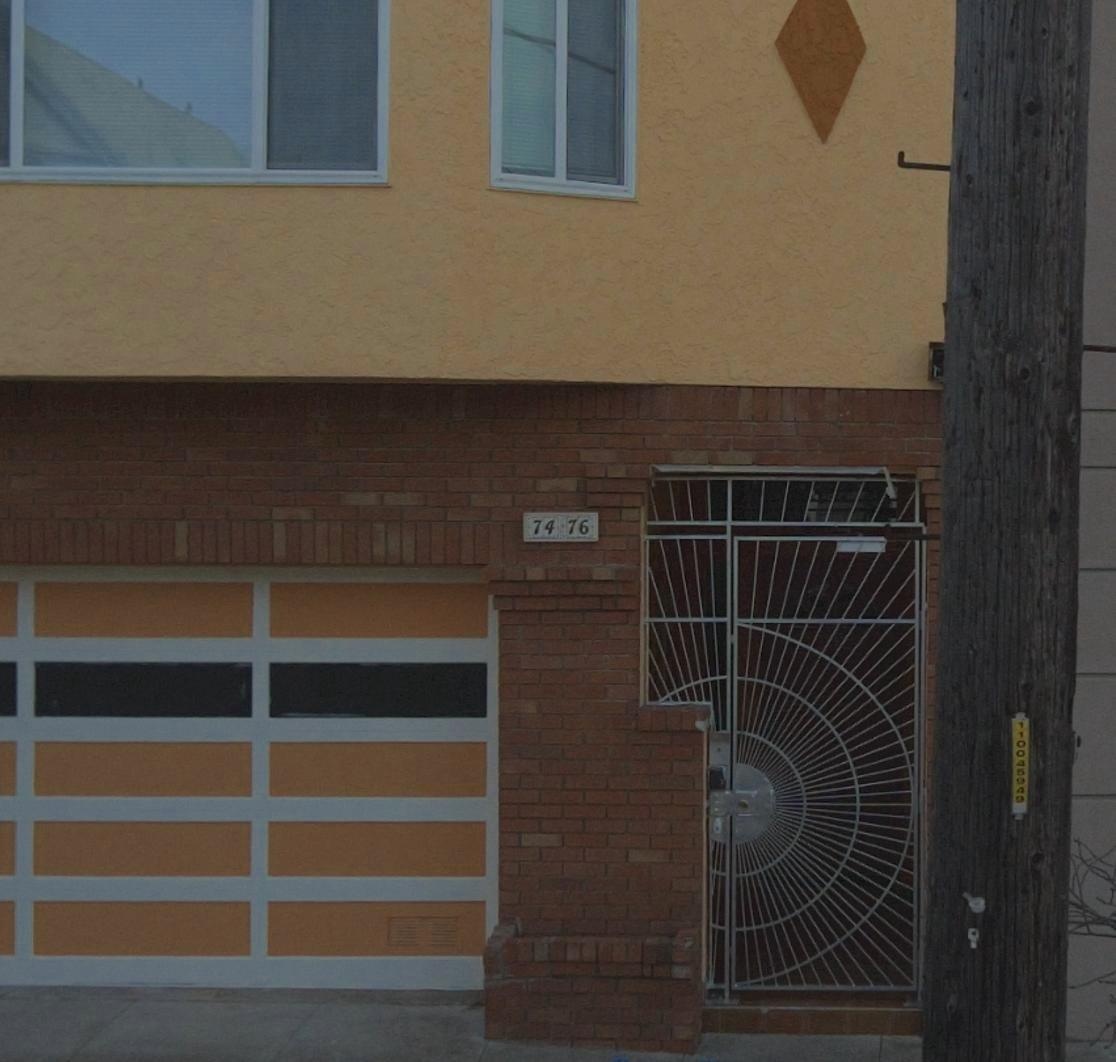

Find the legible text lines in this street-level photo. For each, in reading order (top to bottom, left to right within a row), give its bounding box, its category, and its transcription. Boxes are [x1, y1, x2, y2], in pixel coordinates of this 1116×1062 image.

[530, 517, 557, 537] StreetNumber: 74
[565, 517, 591, 537] StreetNumber: 76
[1012, 718, 1029, 808] None: 110045949